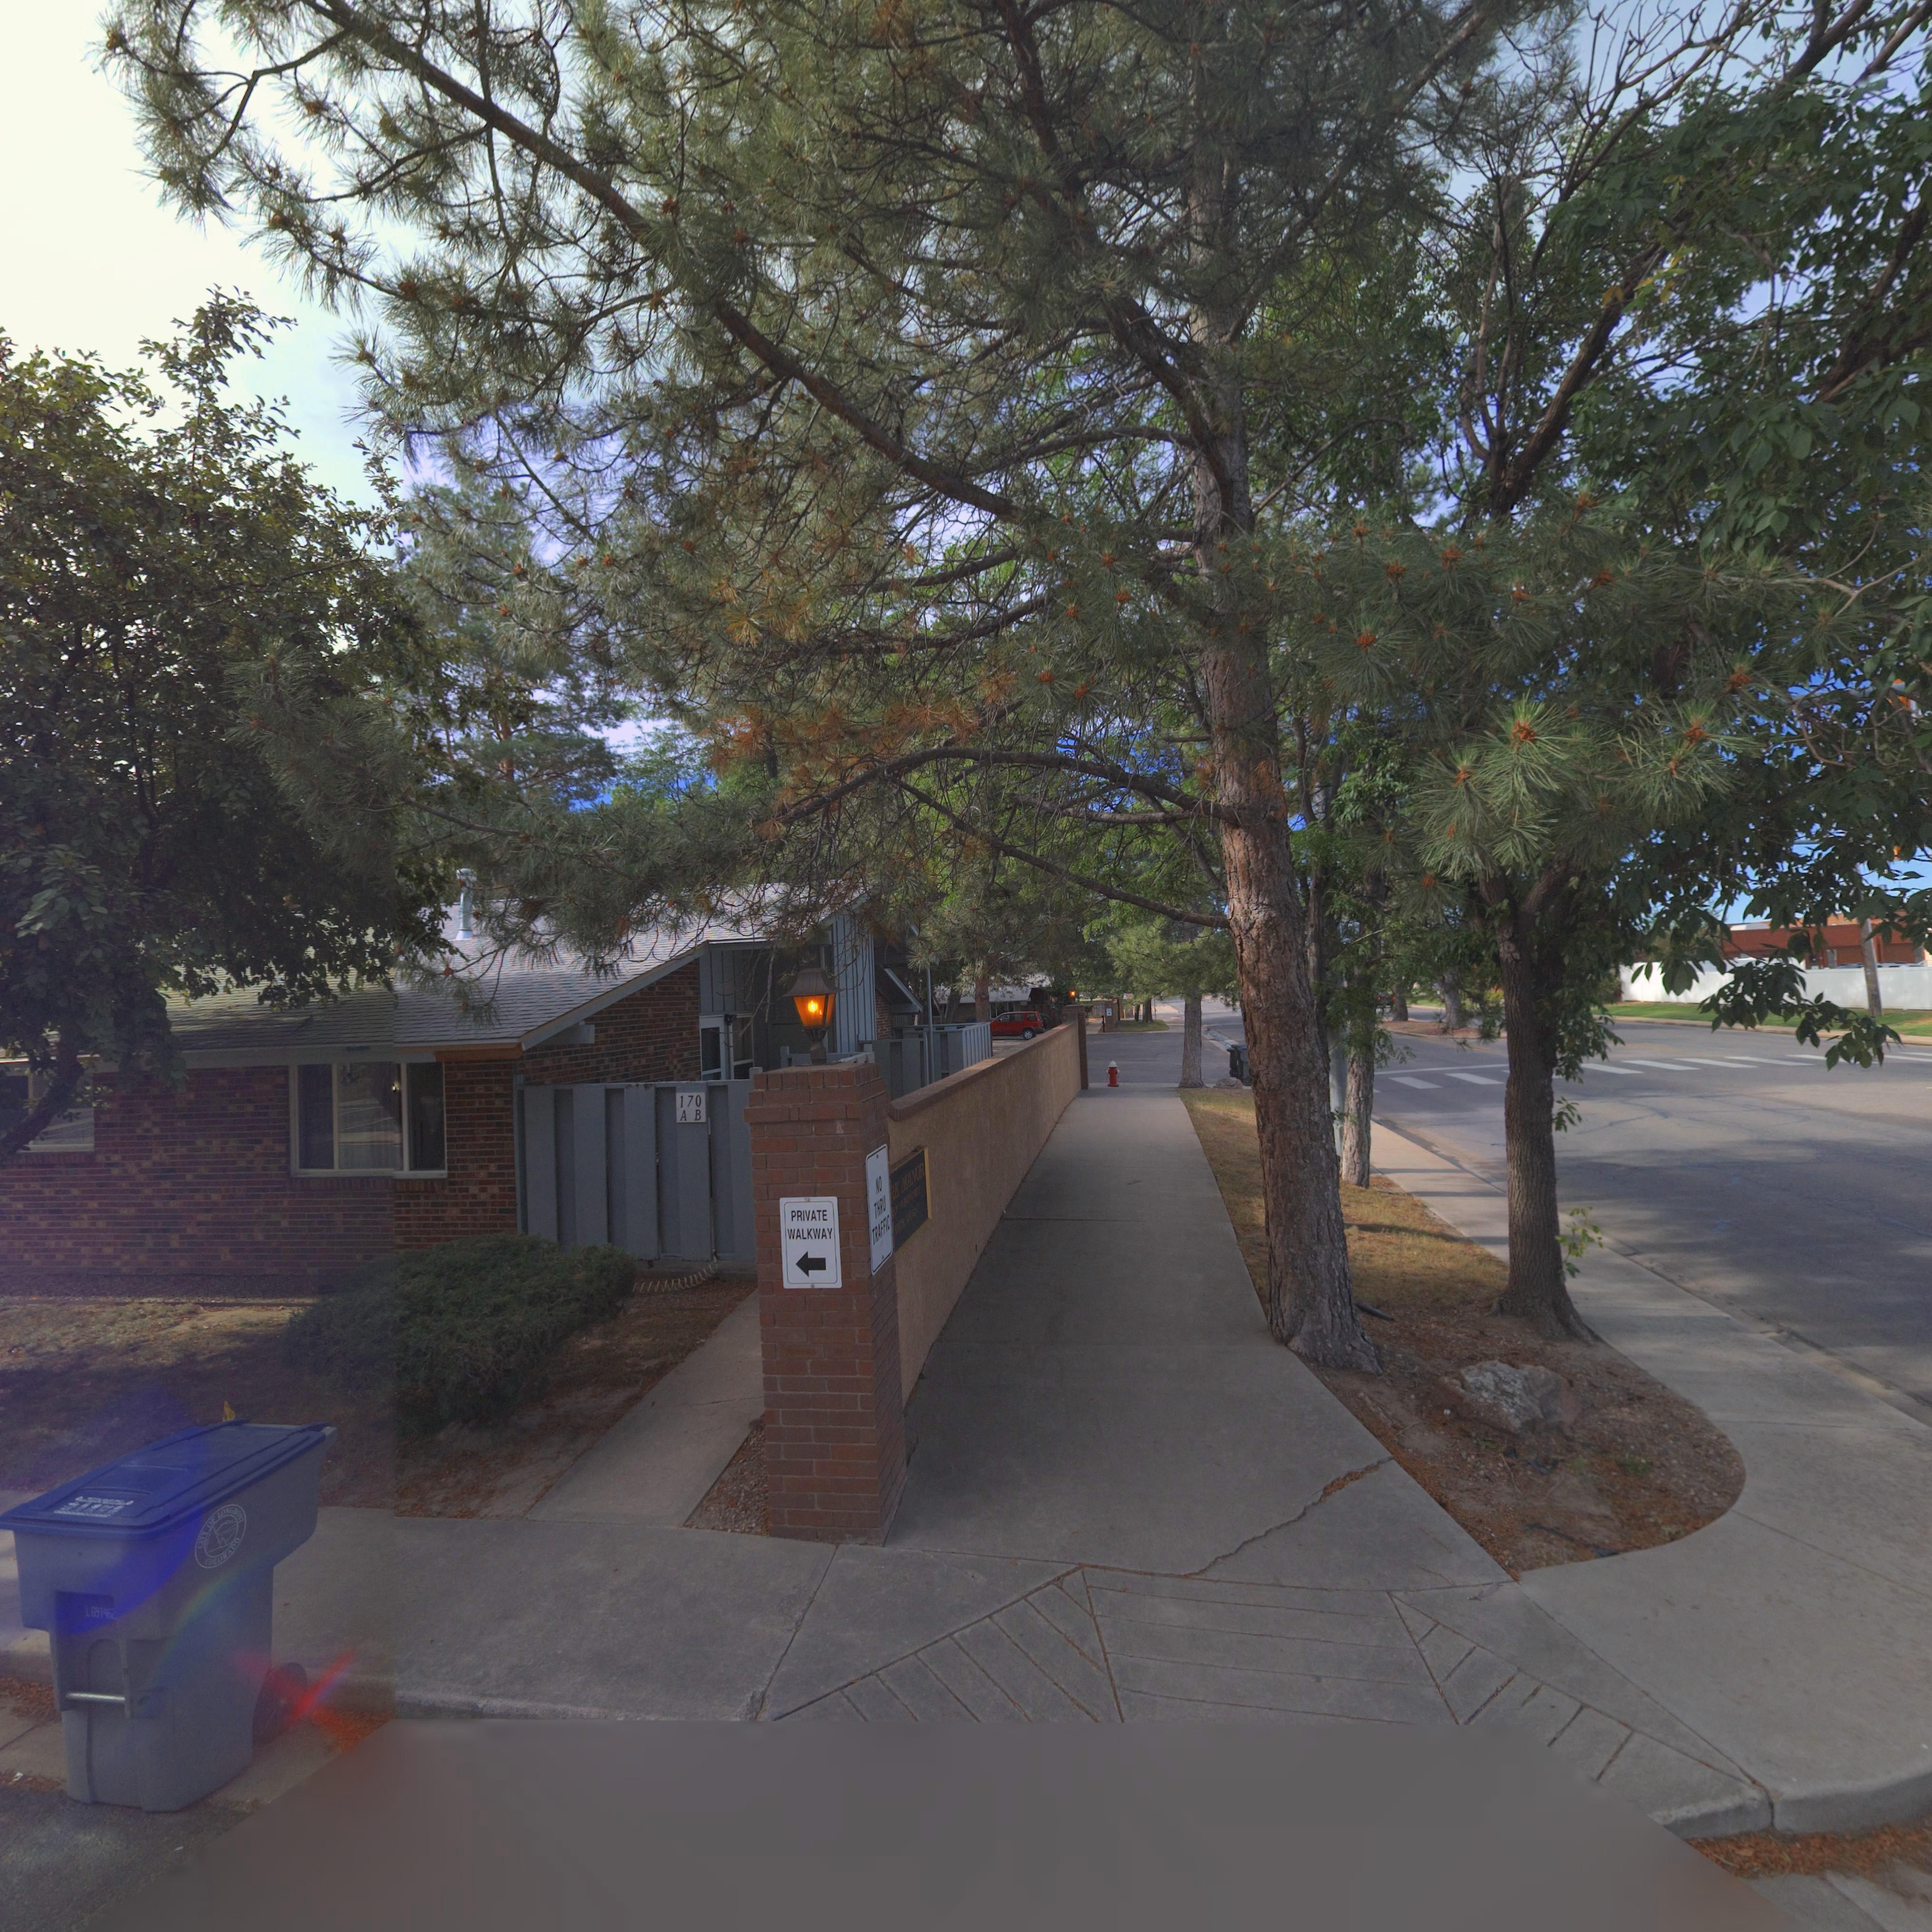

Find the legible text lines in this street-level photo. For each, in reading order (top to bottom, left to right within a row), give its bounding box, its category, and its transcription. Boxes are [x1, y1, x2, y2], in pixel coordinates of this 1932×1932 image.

[677, 1093, 703, 1109] StreetNumber: 170
[677, 1109, 704, 1122] StreetNumber: A B
[889, 1160, 925, 1205] BusinessName: RK MANOR